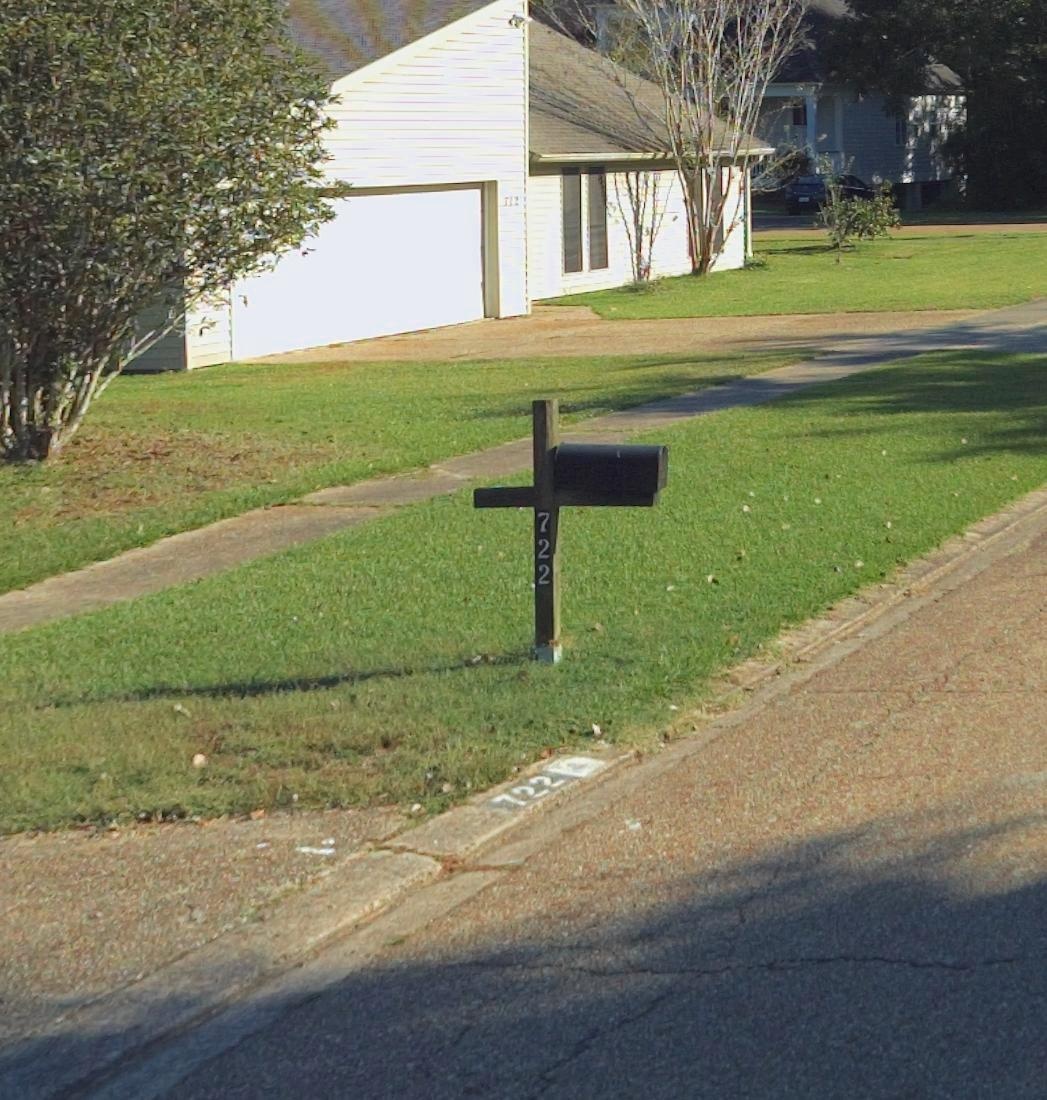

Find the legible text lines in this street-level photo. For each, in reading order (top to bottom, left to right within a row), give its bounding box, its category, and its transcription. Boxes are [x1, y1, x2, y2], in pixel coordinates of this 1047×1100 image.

[502, 193, 521, 210] StreetNumber: 712
[536, 510, 552, 586] StreetNumber: 722
[485, 773, 569, 810] StreetNumber: 722